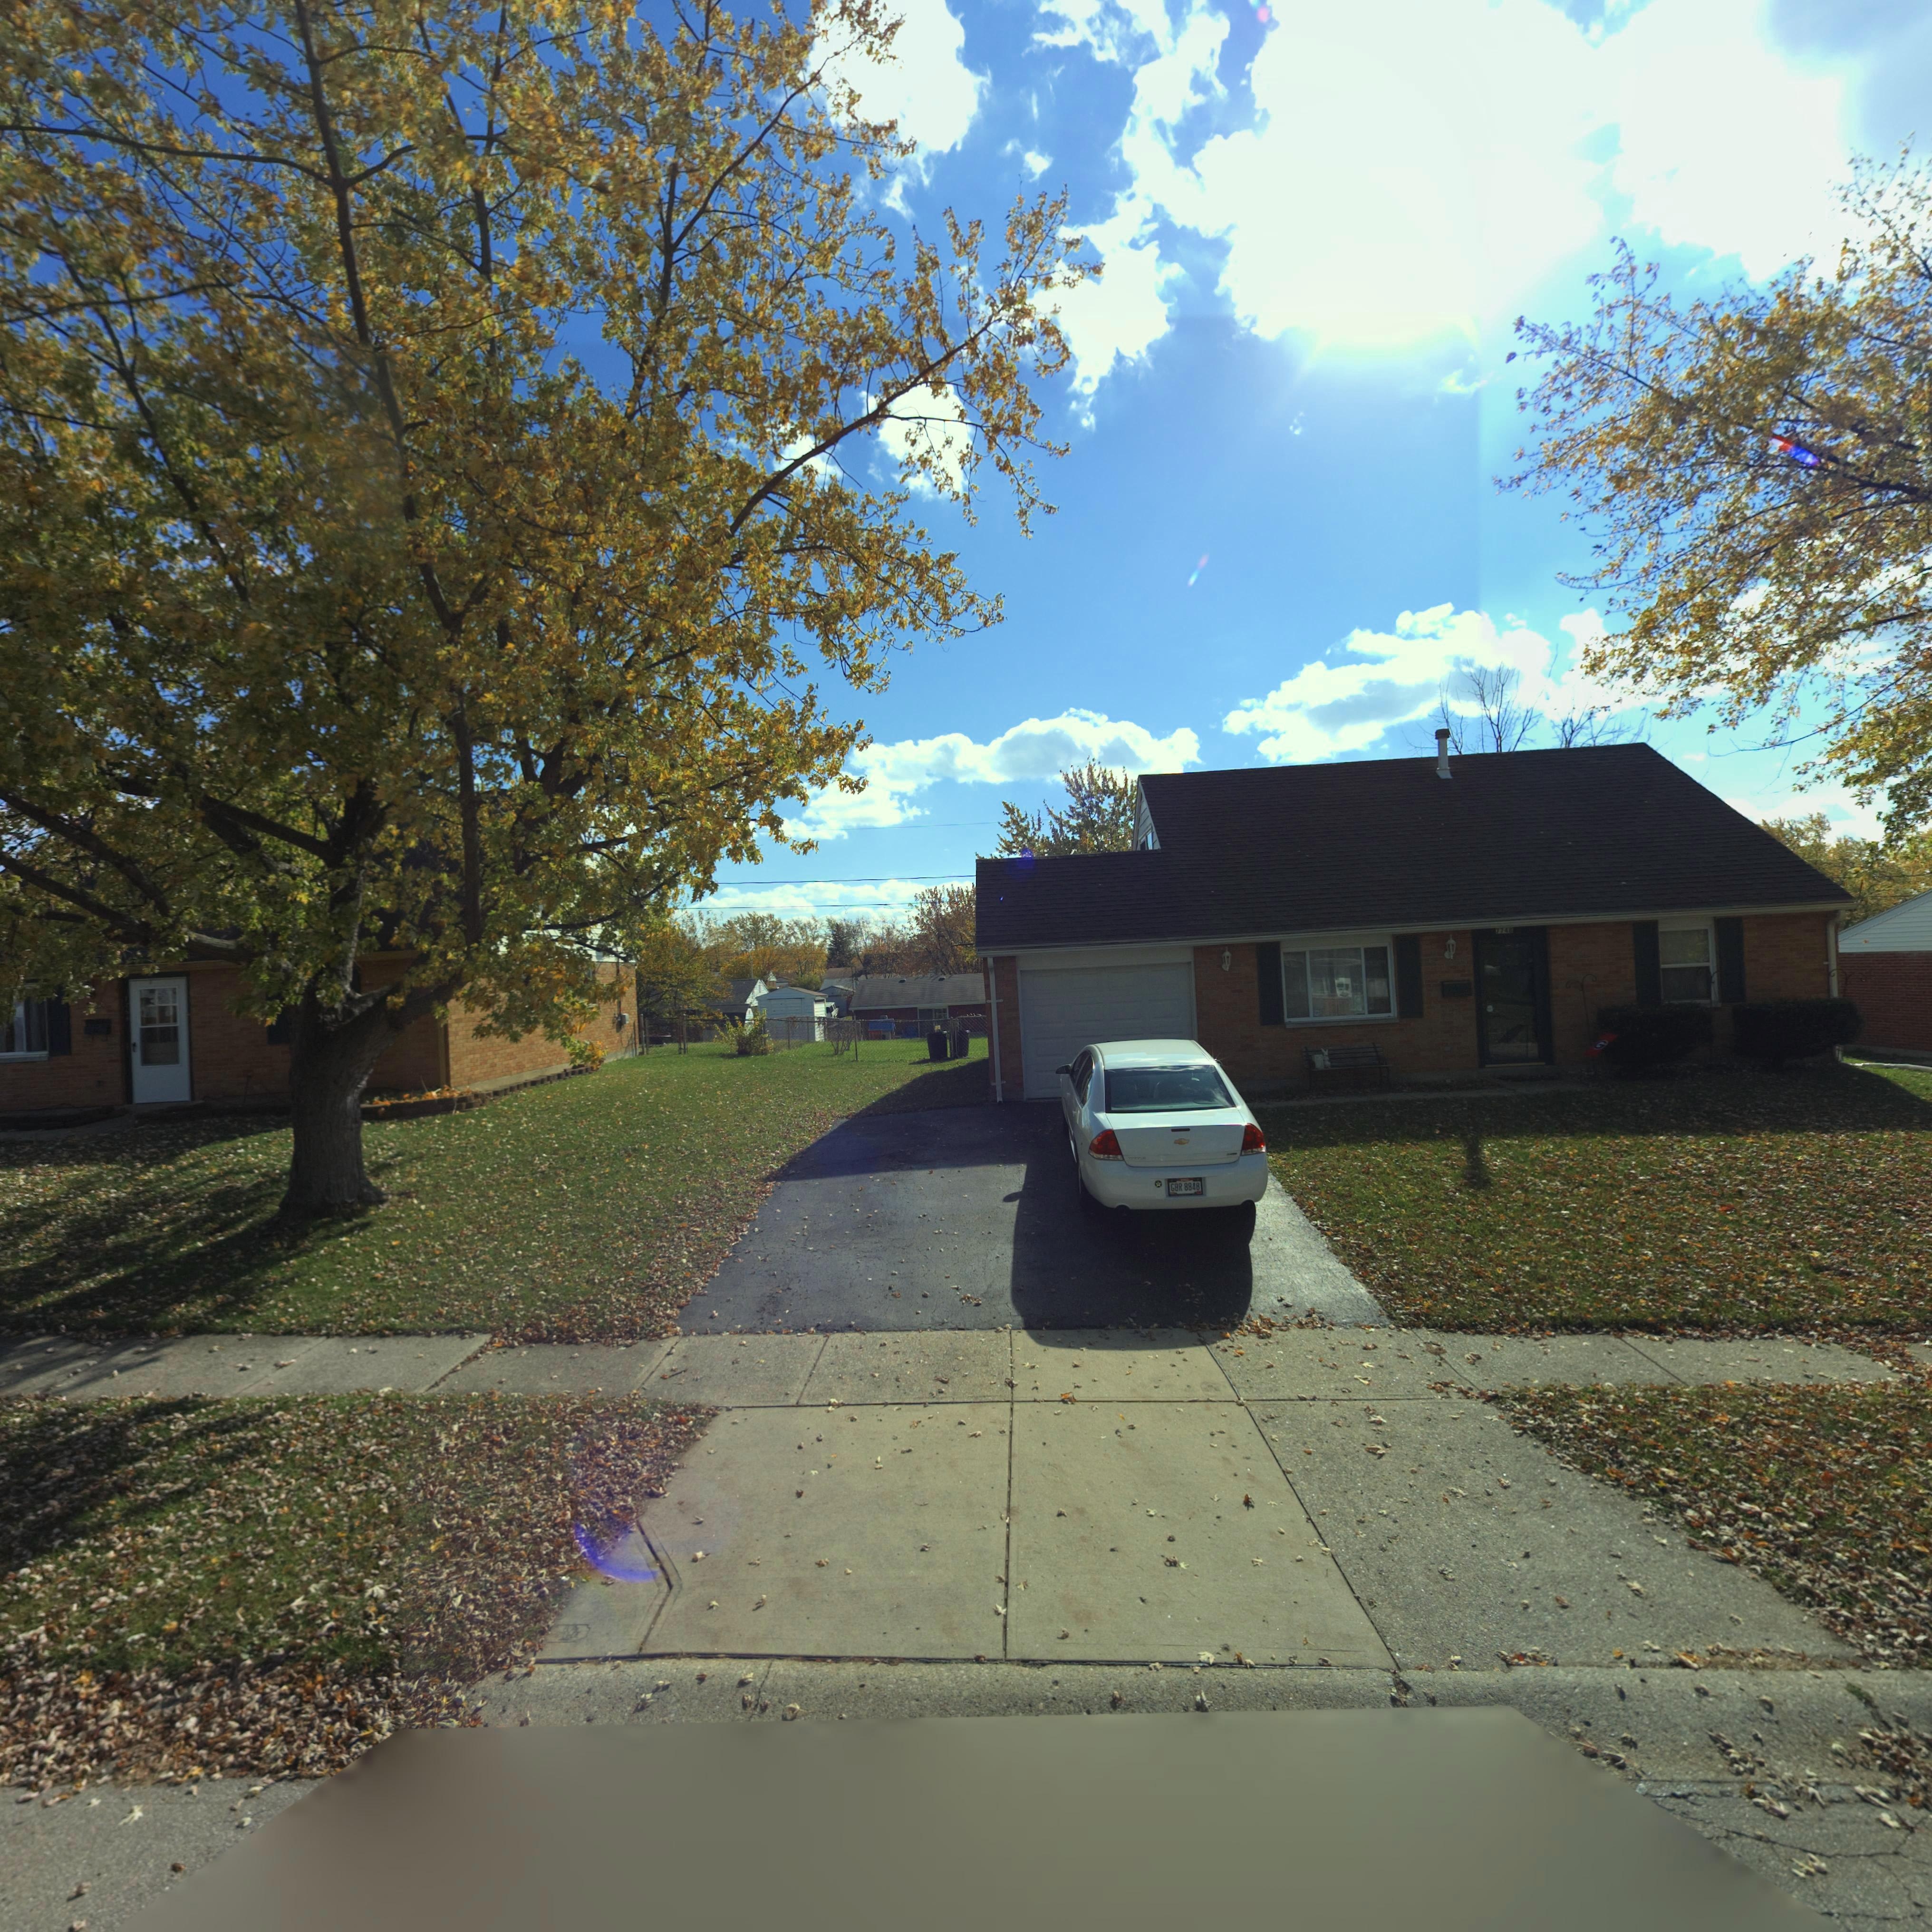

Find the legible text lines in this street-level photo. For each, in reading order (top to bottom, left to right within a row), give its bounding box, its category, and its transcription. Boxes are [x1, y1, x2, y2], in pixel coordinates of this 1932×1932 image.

[1495, 927, 1514, 934] StreetNumber: 7748
[124, 995, 130, 1022] StreetNumber: 775*